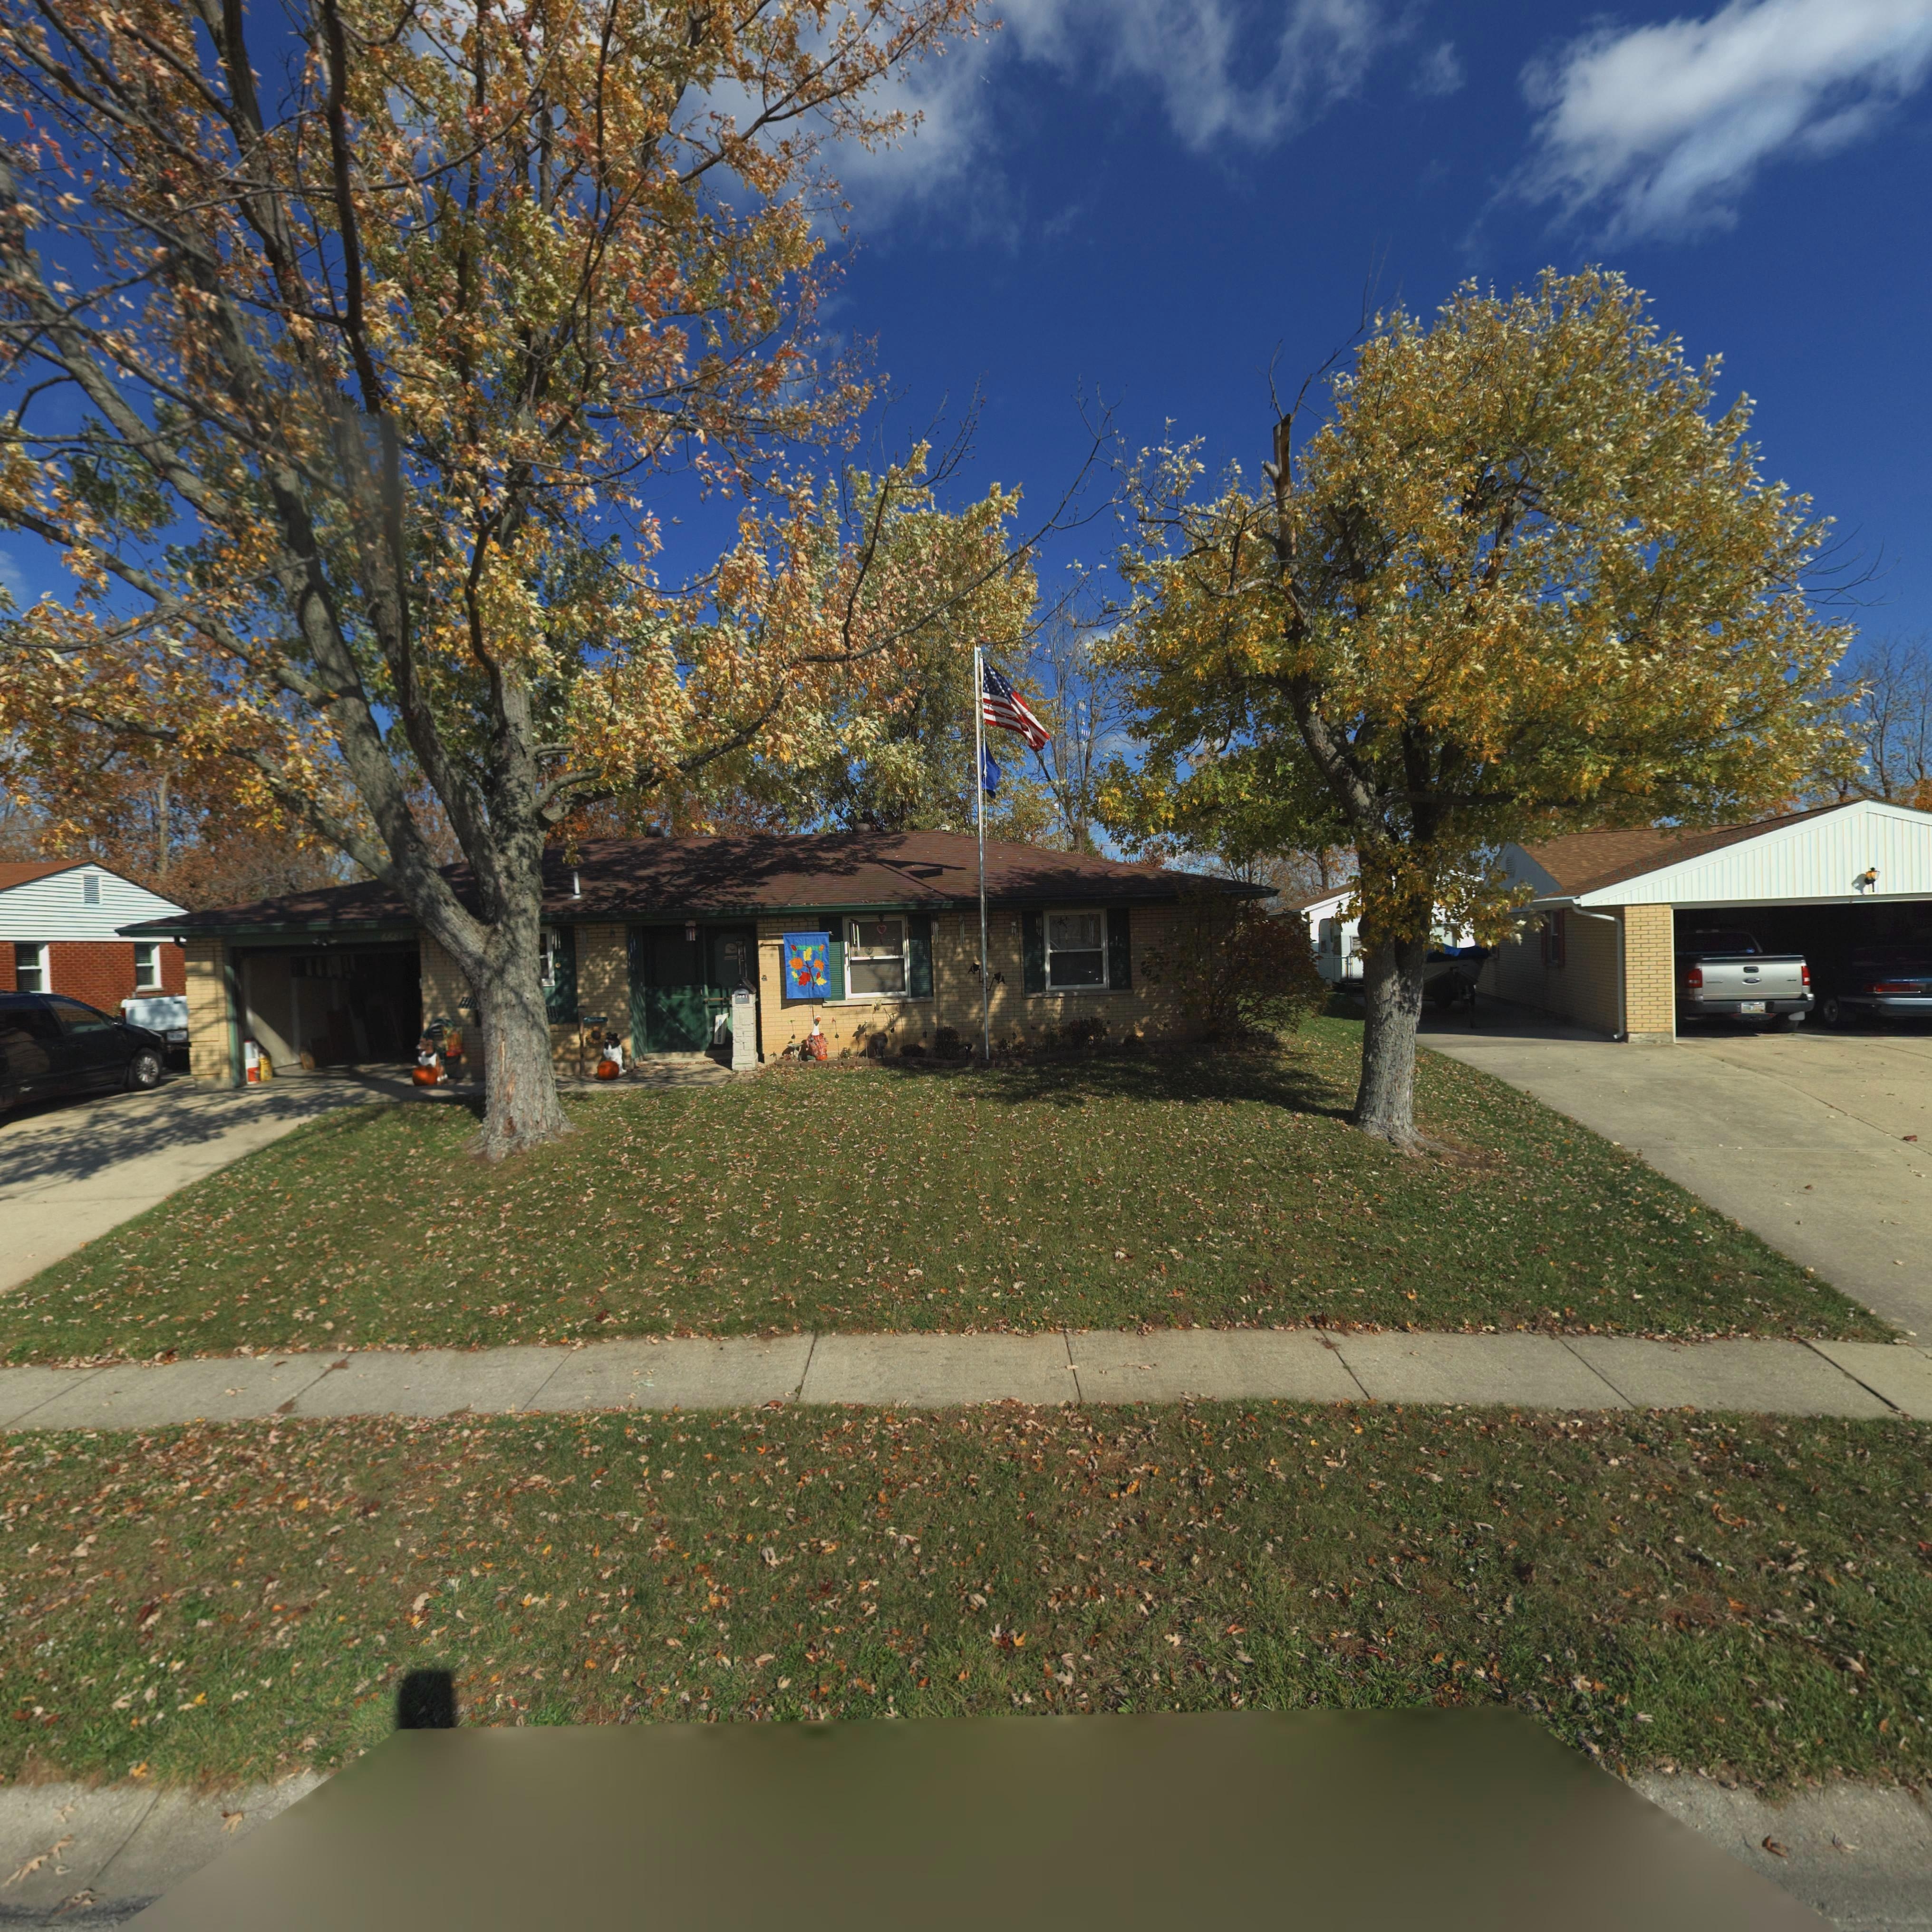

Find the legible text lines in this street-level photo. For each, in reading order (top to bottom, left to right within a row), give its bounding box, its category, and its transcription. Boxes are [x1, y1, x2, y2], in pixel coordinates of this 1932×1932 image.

[379, 930, 405, 943] StreetNumber: 6681
[736, 994, 748, 999] StreetNumber: 66*1